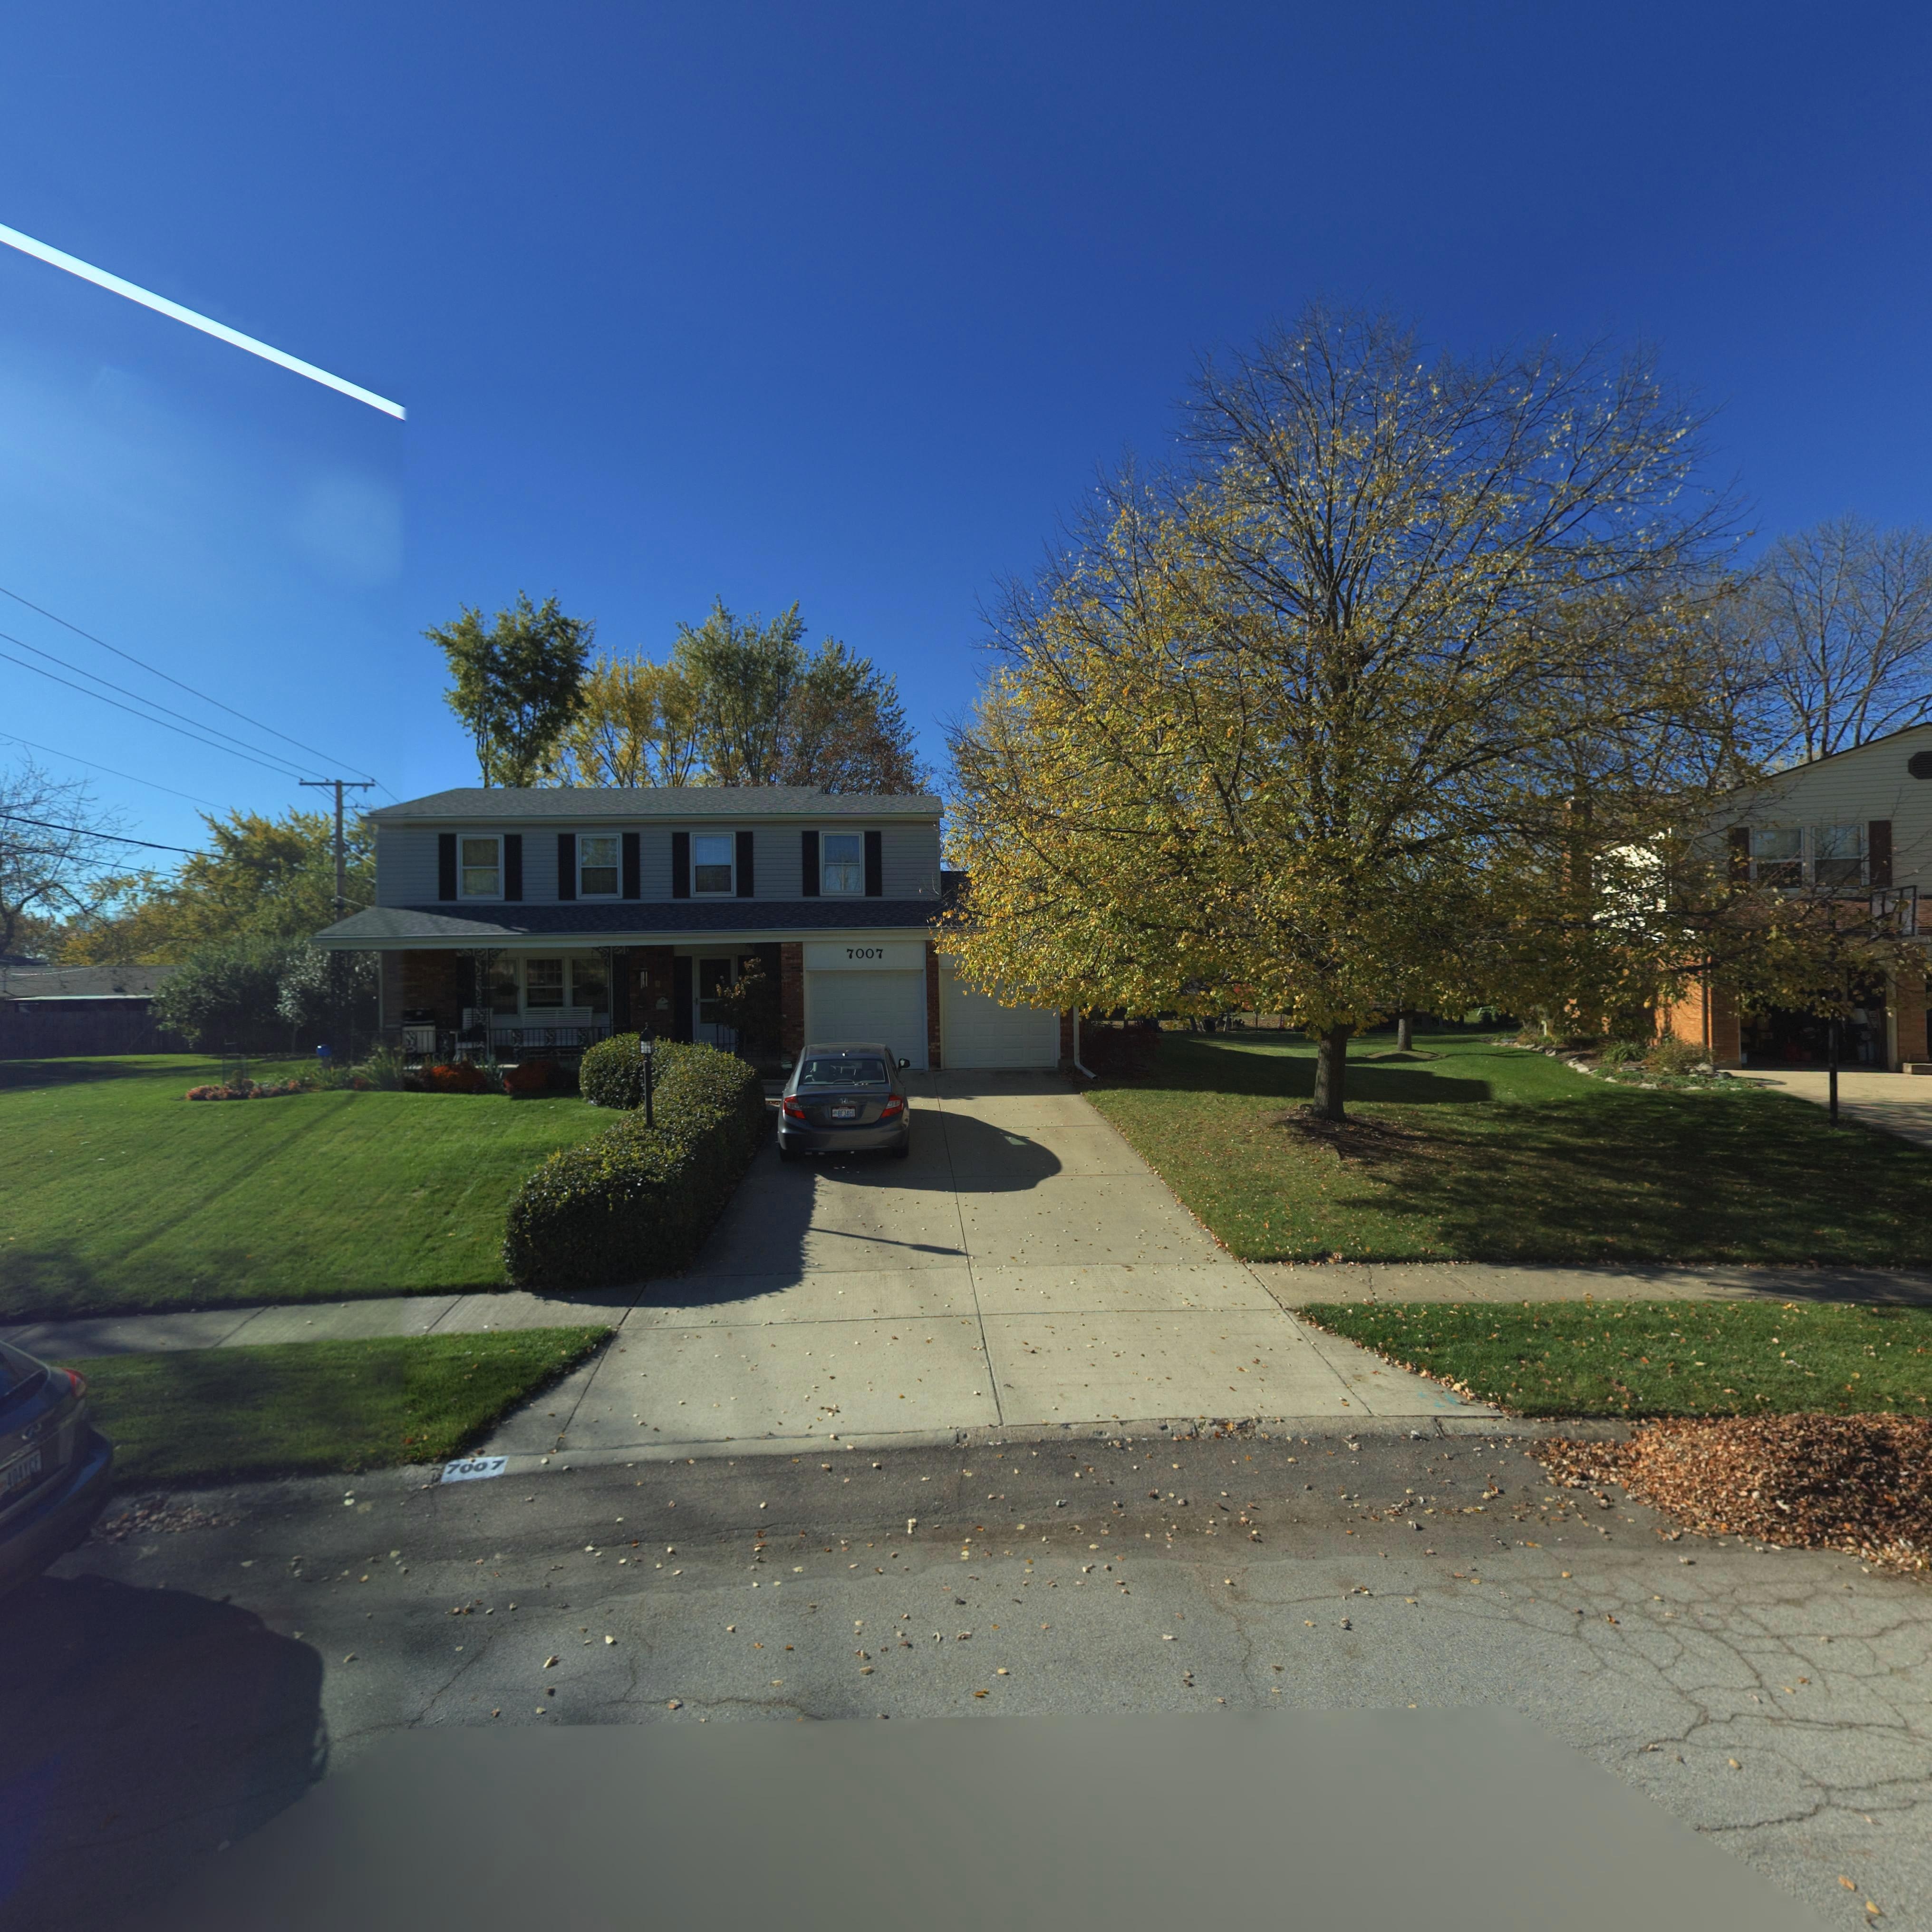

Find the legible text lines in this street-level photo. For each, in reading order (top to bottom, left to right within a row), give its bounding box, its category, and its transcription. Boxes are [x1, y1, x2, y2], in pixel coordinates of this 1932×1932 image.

[846, 947, 884, 960] StreetNumber: 7007
[837, 1110, 855, 1117] None: GF34GU
[445, 1458, 506, 1476] StreetNumber: 7007